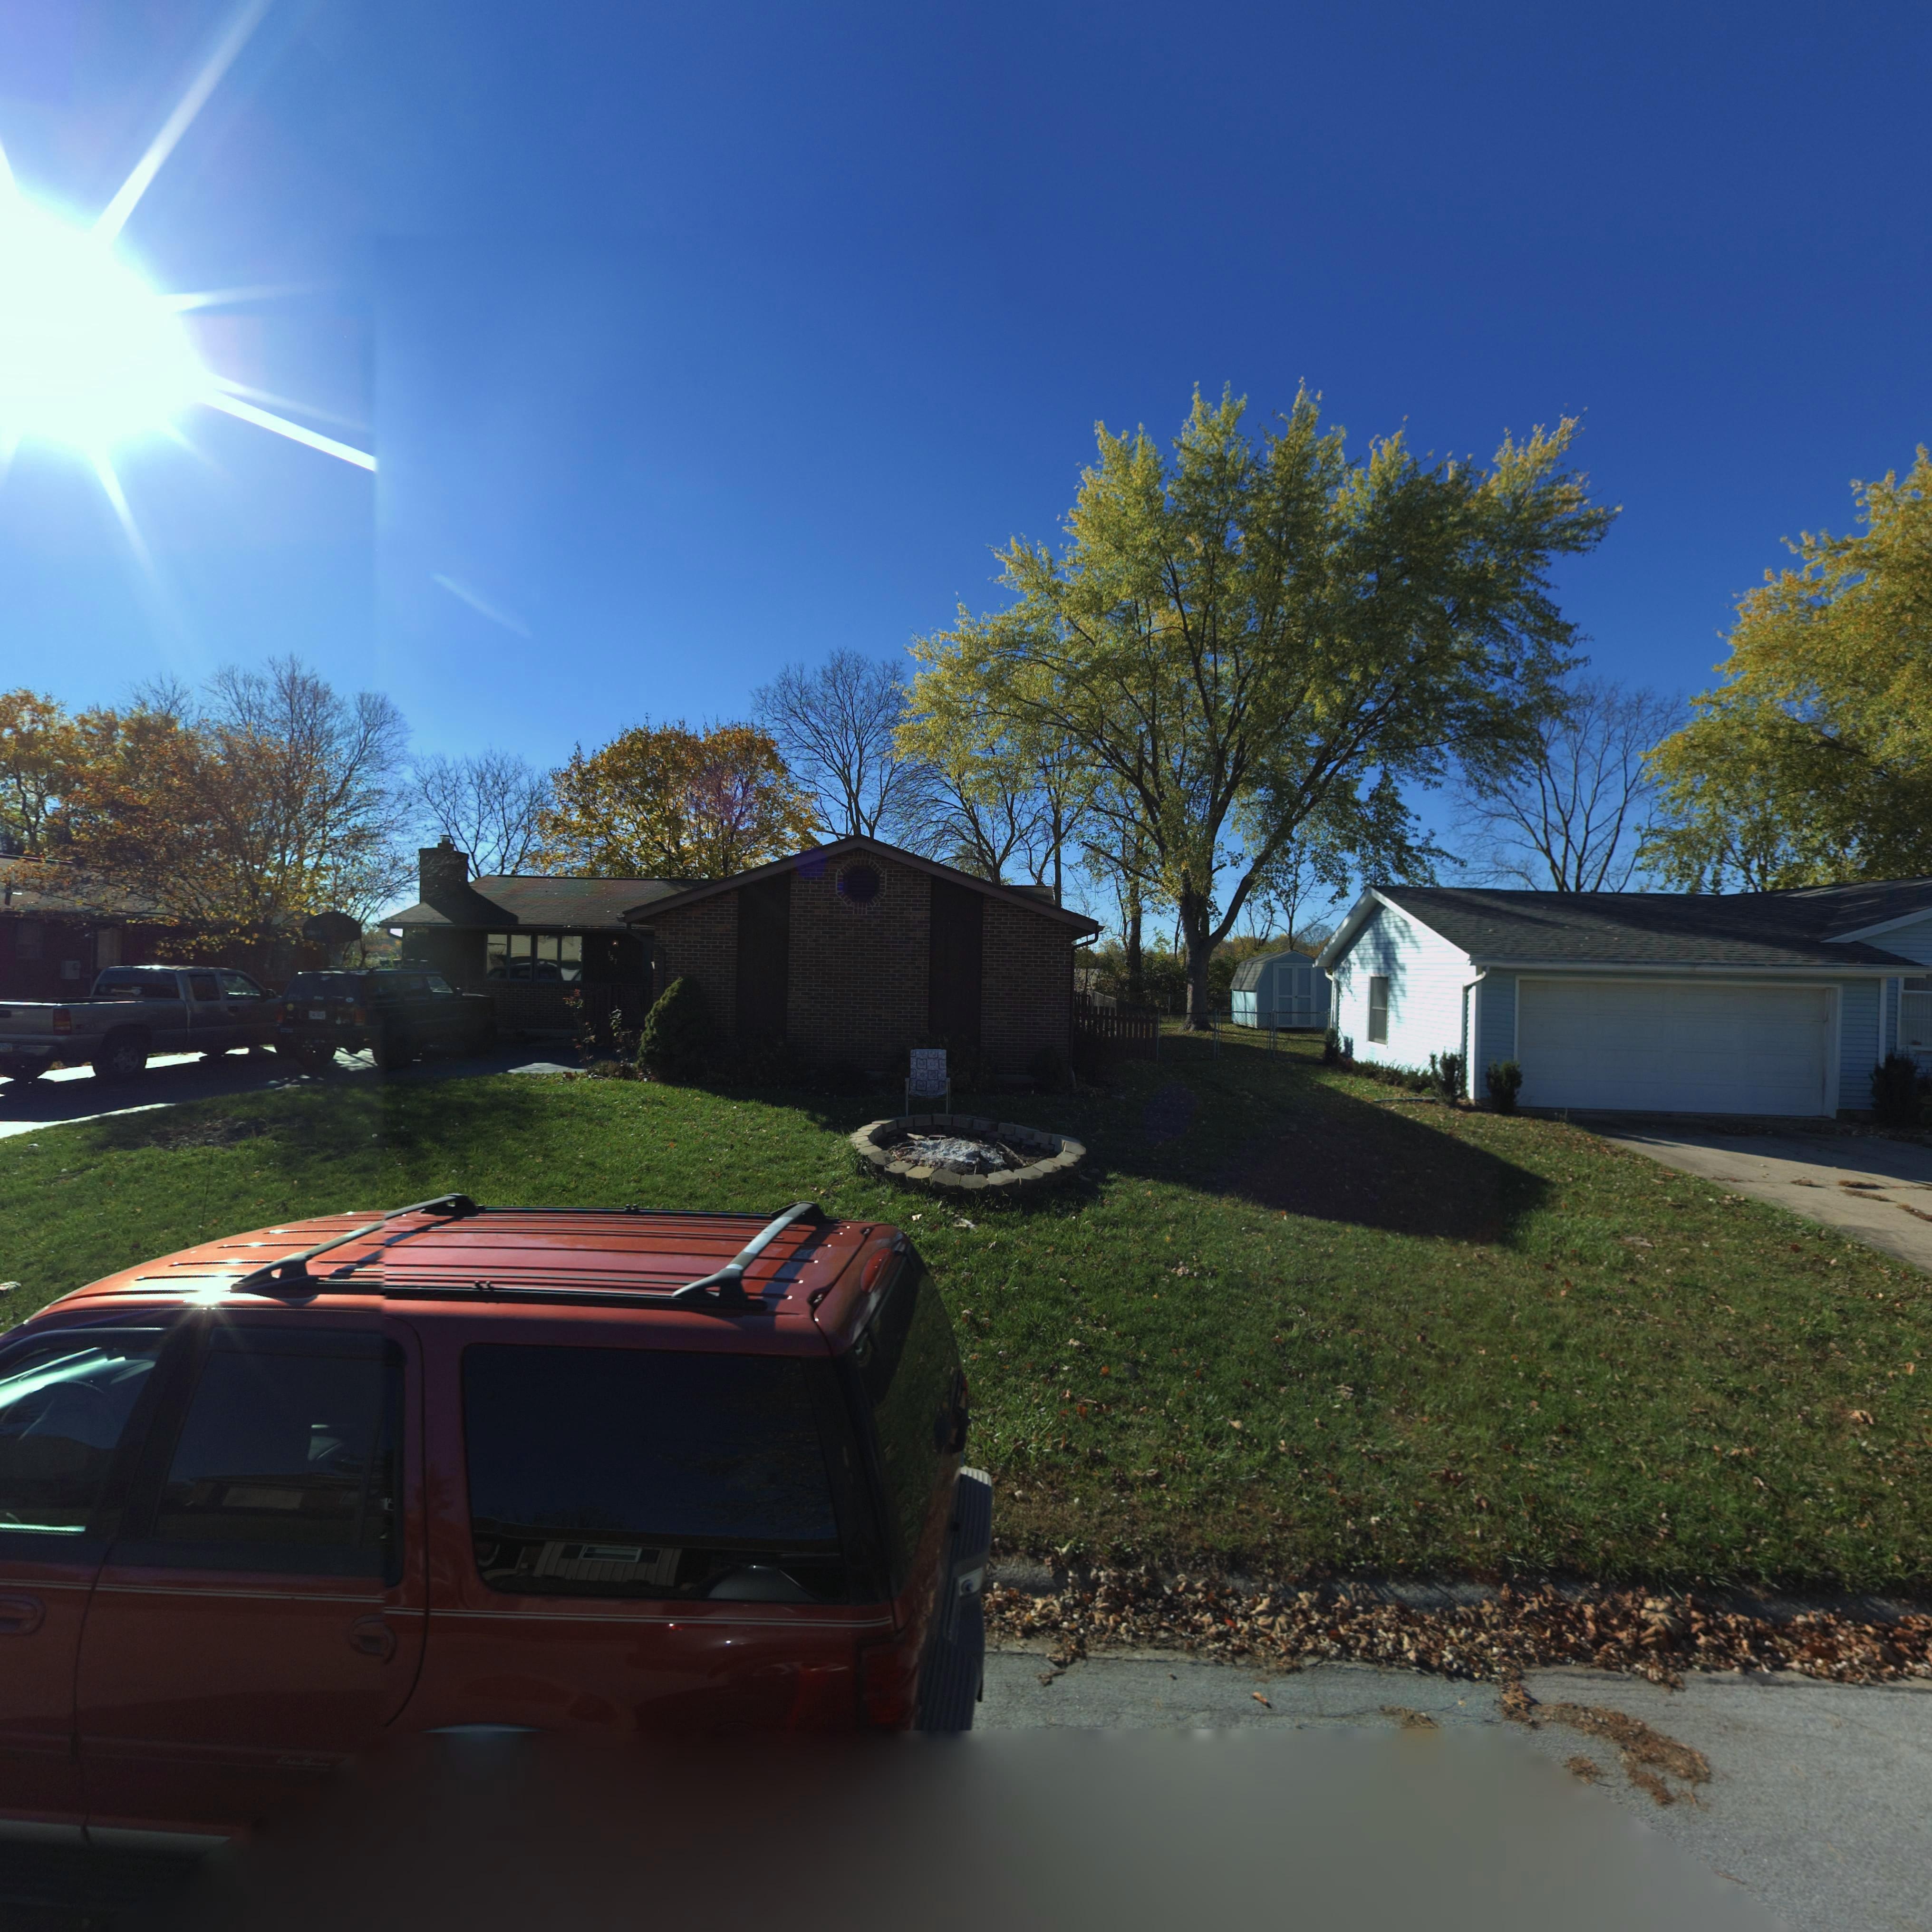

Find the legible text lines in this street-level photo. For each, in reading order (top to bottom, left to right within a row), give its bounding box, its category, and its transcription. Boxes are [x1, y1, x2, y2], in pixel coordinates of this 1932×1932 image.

[607, 949, 619, 966] StreetNumber: 157